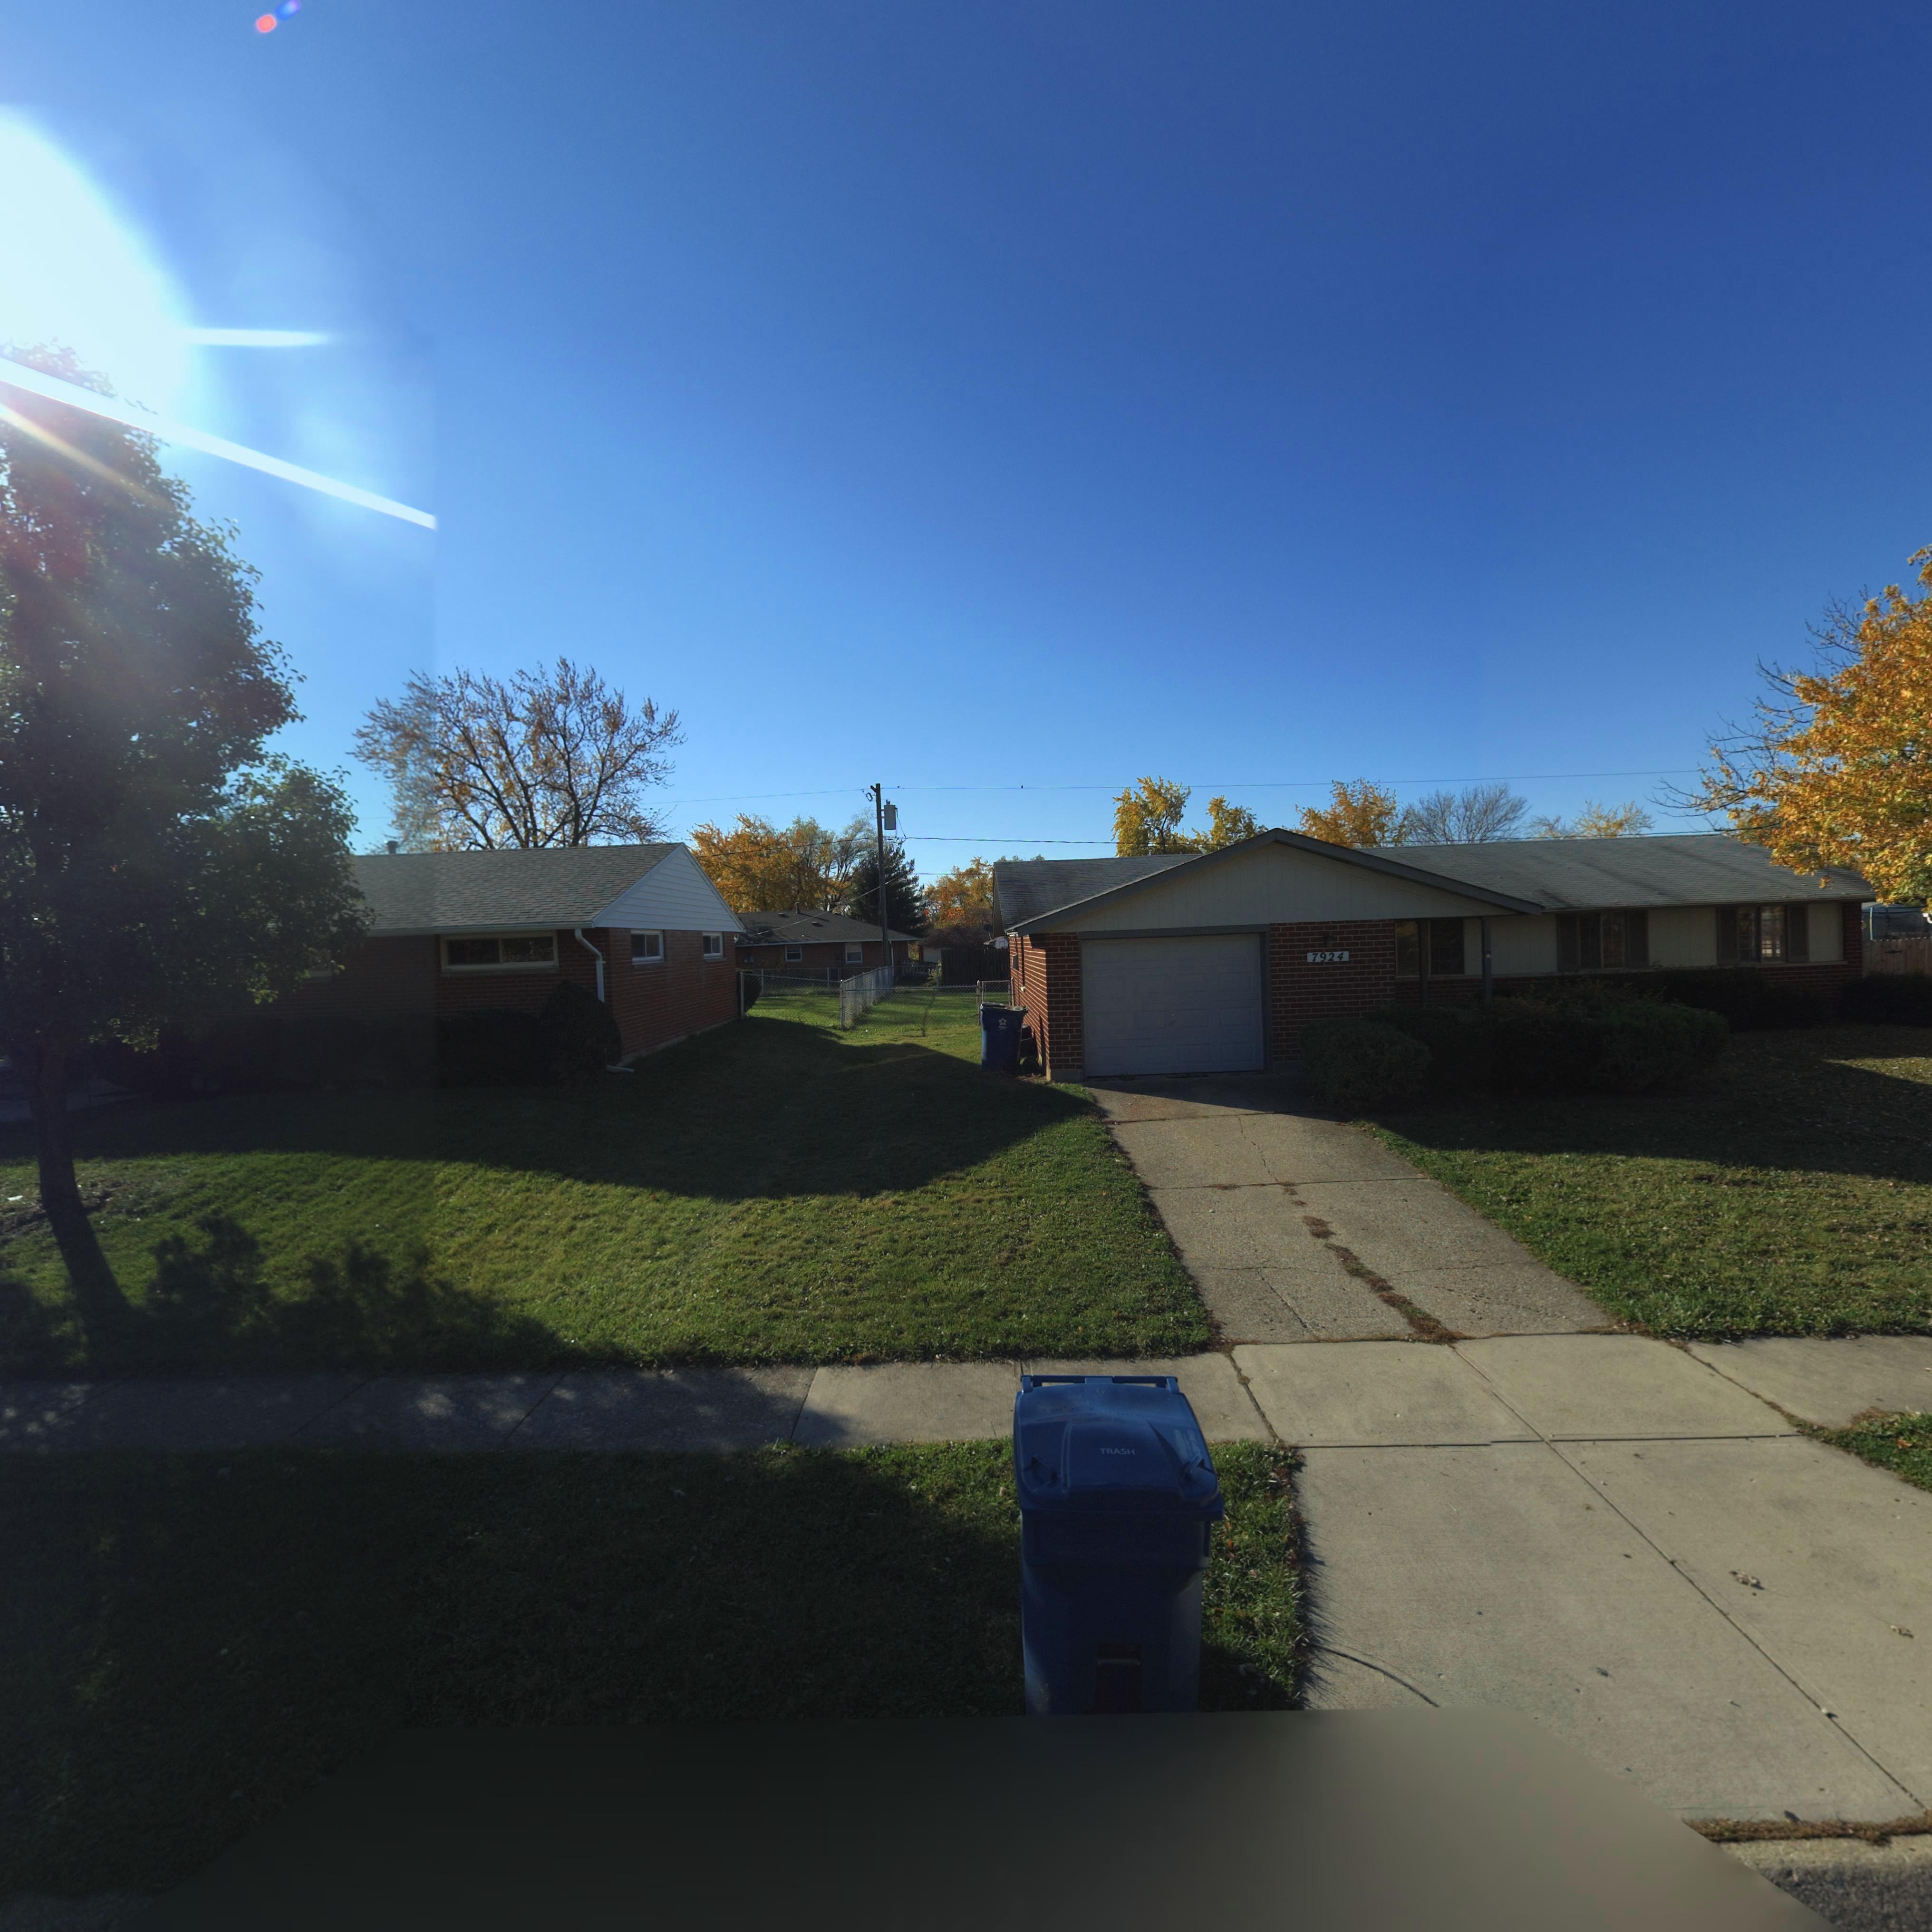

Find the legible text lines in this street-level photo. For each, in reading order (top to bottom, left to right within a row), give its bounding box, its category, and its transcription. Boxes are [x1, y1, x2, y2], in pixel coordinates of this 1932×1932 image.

[1311, 951, 1345, 963] StreetNumber: 7924